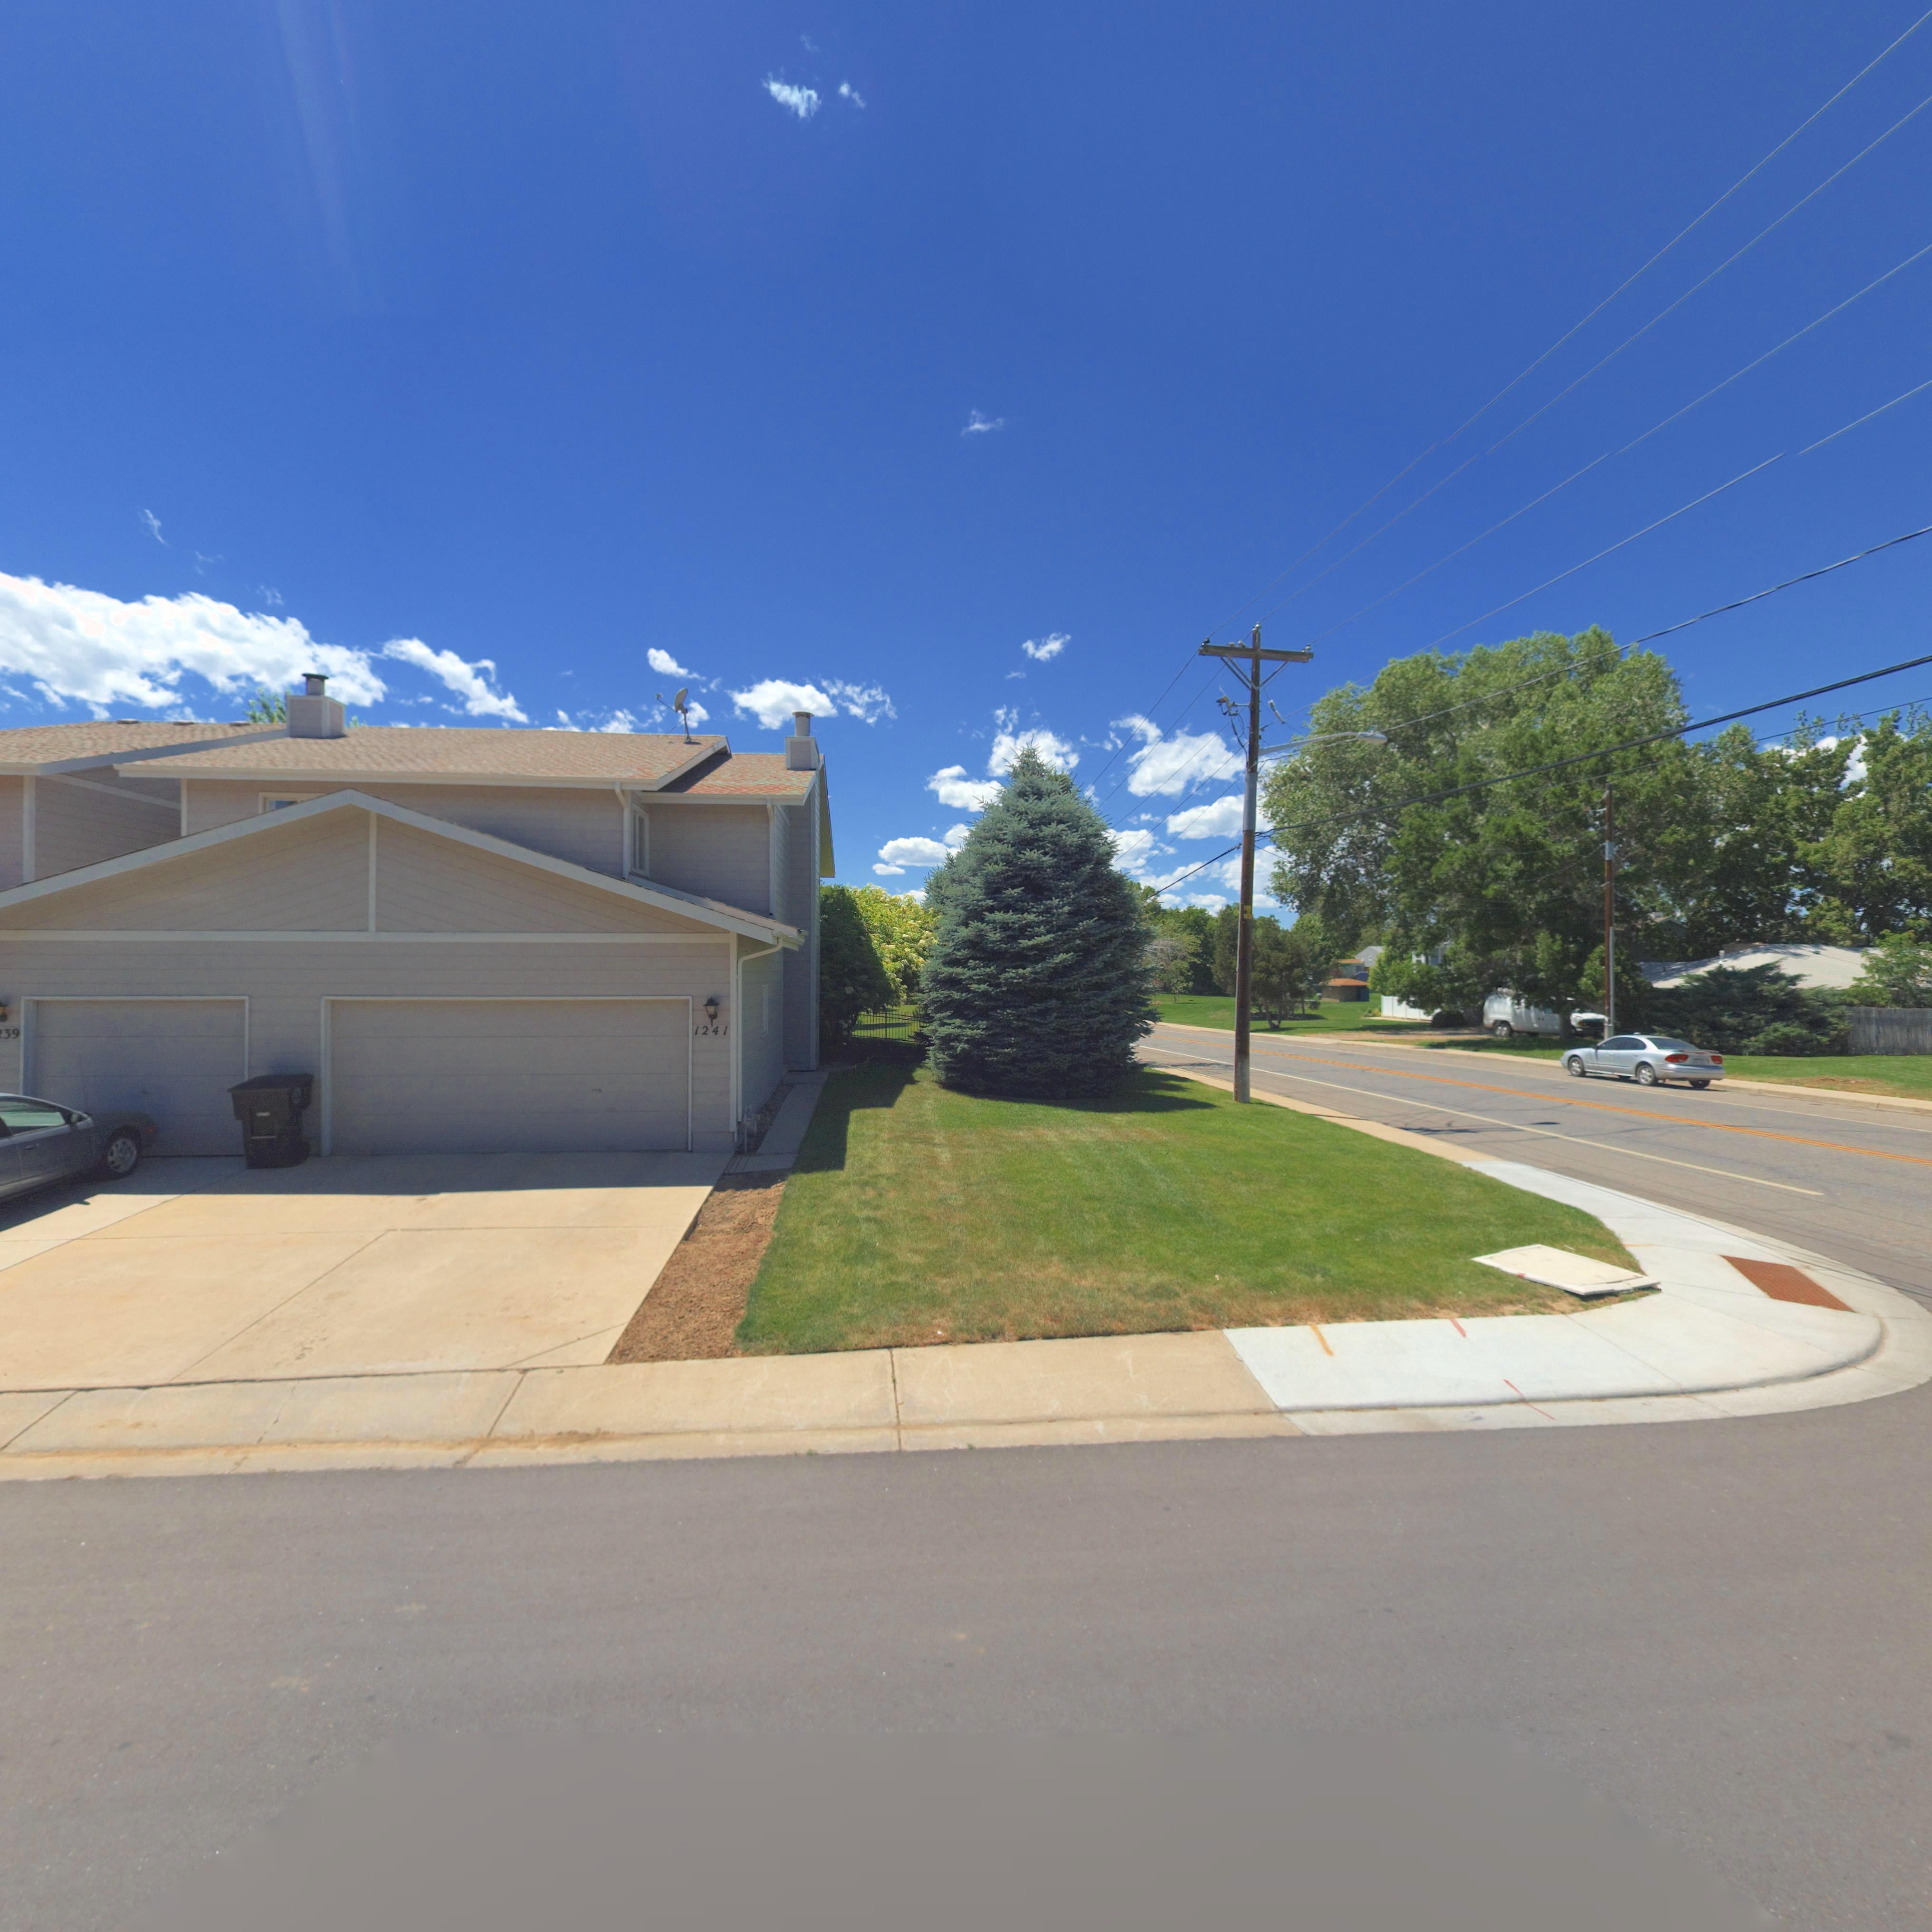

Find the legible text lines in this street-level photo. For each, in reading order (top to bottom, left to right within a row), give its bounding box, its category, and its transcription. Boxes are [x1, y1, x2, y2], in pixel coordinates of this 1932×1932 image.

[2, 1027, 20, 1040] StreetNumber: 39
[693, 1024, 729, 1036] StreetNumber: 1241